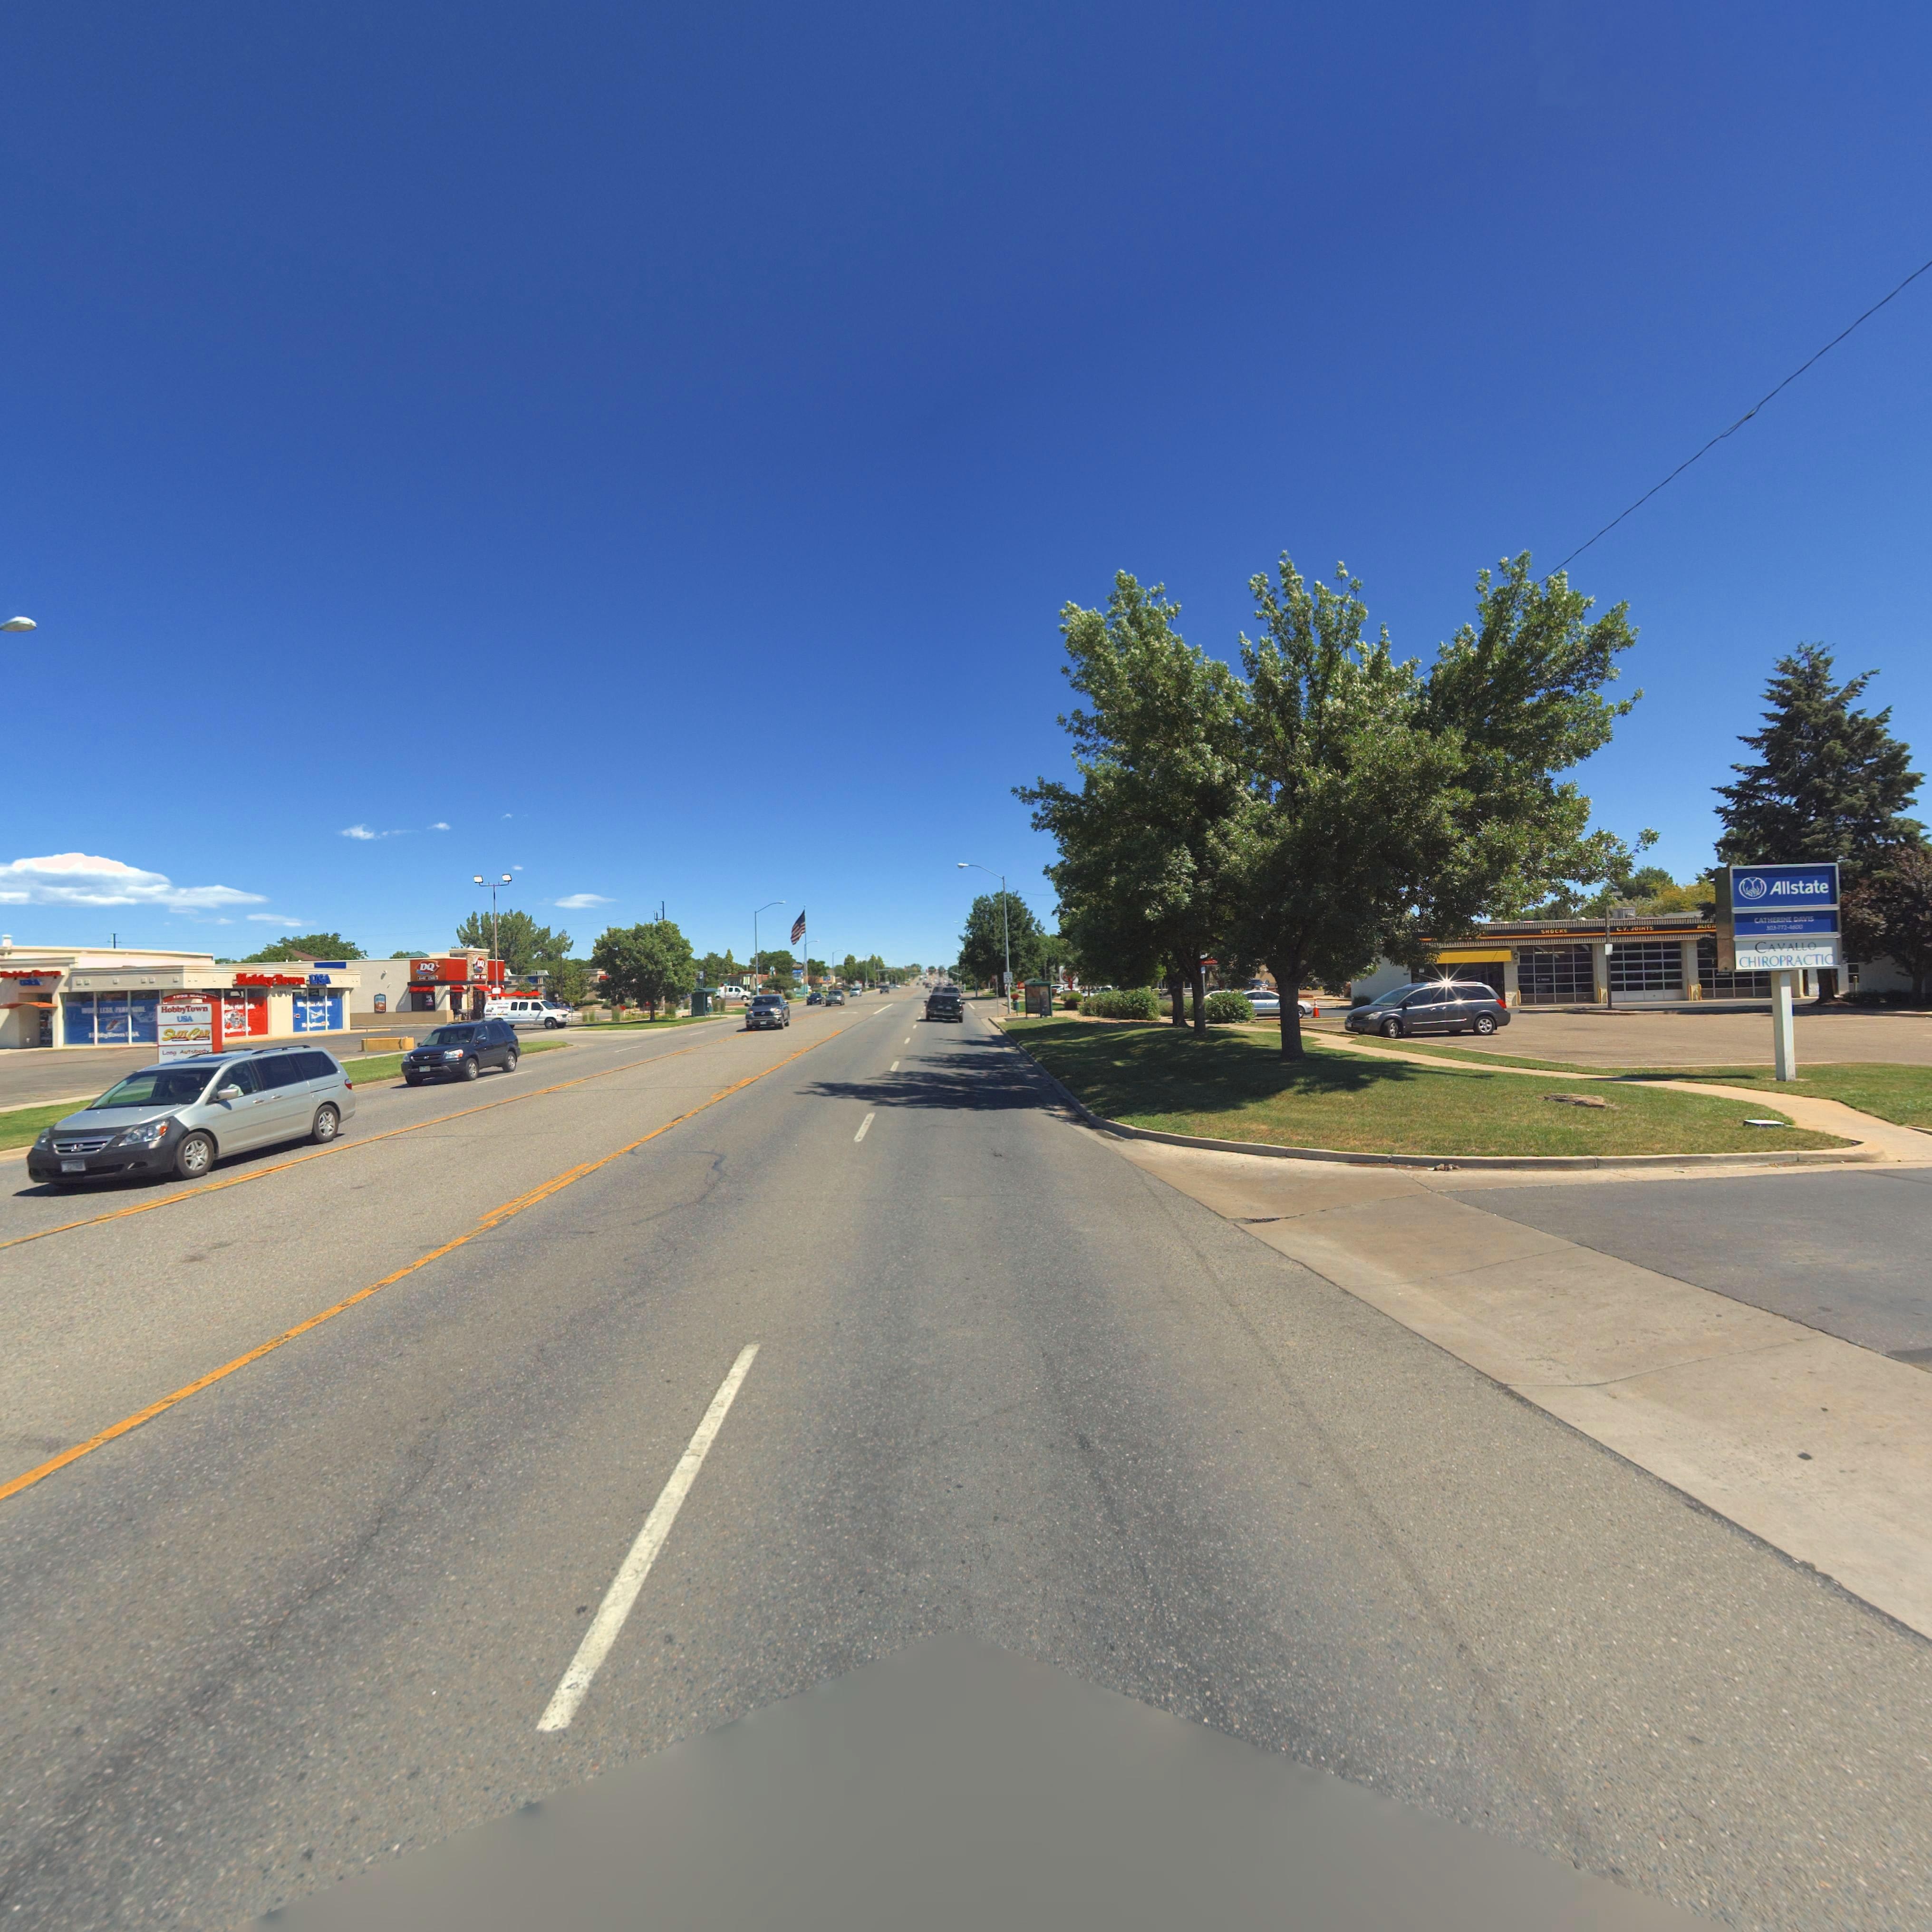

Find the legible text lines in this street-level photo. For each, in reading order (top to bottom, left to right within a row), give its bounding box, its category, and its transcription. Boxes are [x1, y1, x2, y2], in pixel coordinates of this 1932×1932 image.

[419, 962, 434, 972] BusinessName: DQ
[477, 959, 485, 968] BusinessName: DQ
[19, 978, 43, 986] BusinessName: USA
[235, 973, 332, 989] BusinessName: HobbyTown USA
[277, 990, 286, 994] StreetNumber: 19*5
[173, 994, 189, 999] StreetNumber: 1**5
[189, 993, 207, 999] StreetName: *A**
[161, 1005, 208, 1014] BusinessName: HobbyTown
[176, 1015, 193, 1023] BusinessName: USA
[161, 1027, 211, 1041] BusinessName: SLOTCAR
[161, 1047, 210, 1056] BusinessName: Long Autobody